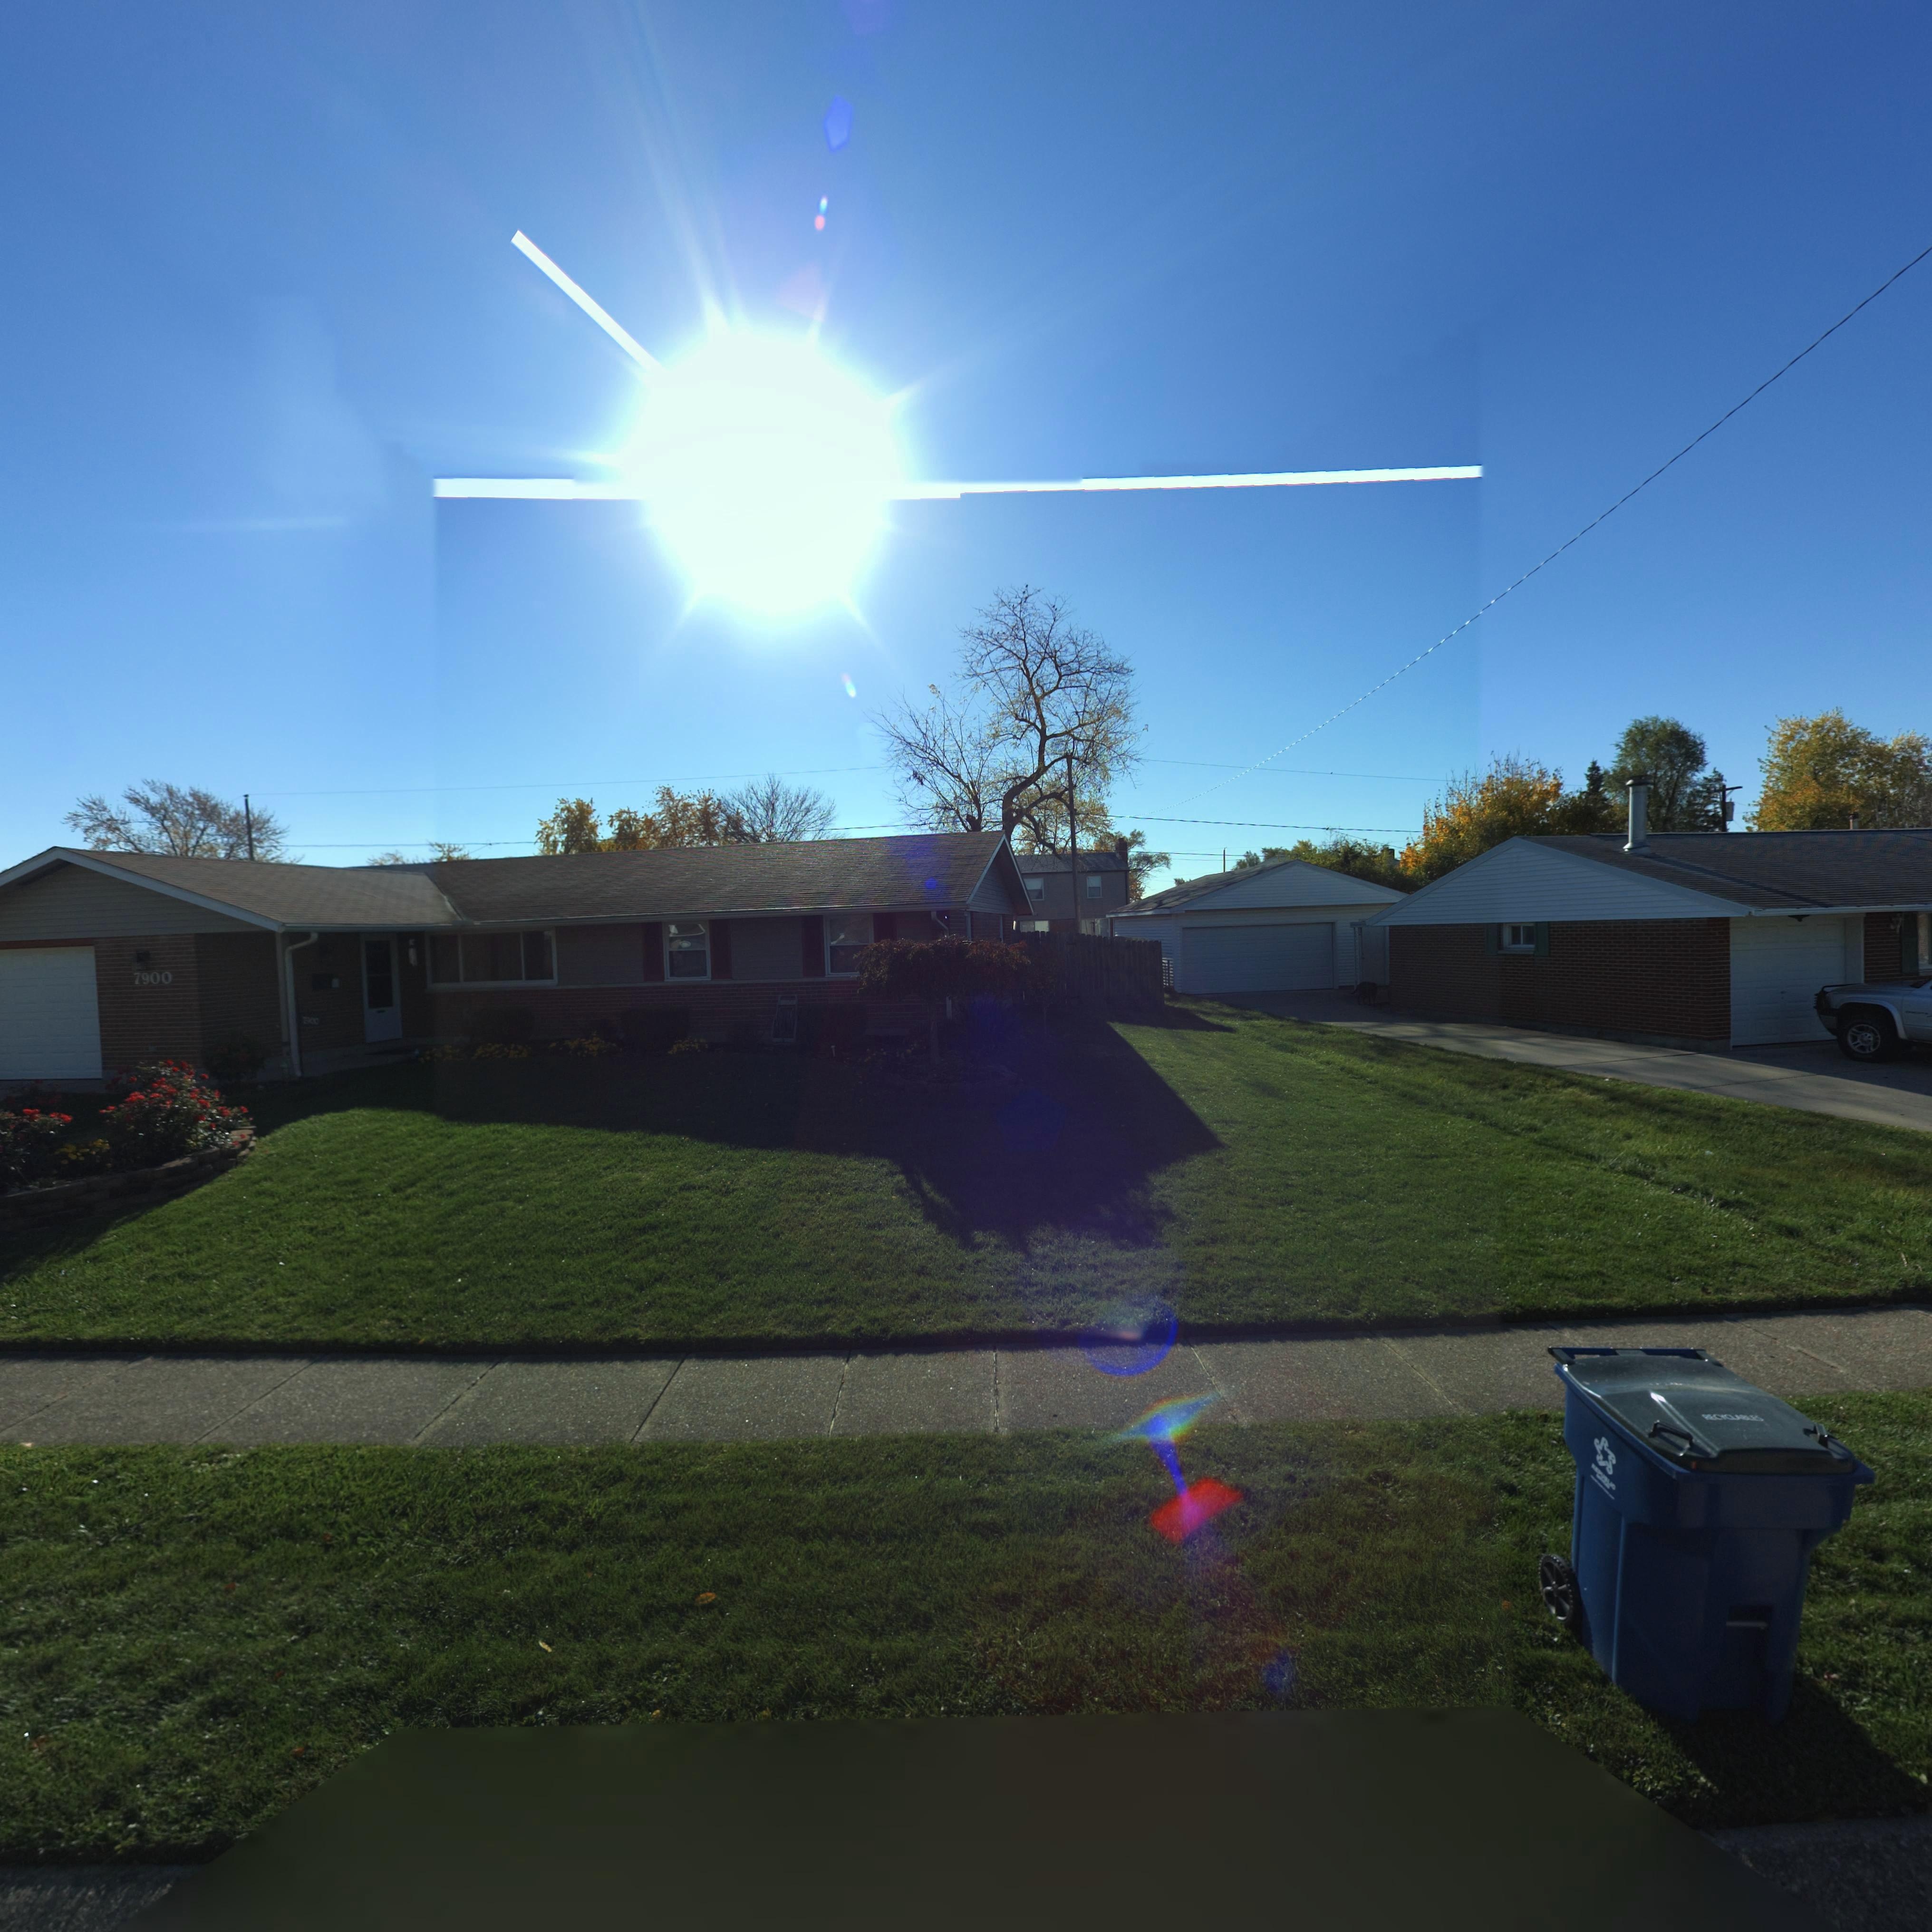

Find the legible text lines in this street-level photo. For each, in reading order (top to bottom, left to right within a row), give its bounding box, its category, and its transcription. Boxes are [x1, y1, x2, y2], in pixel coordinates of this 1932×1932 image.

[133, 971, 174, 985] StreetNumber: 7900
[303, 1015, 320, 1026] StreetNumber: 7900